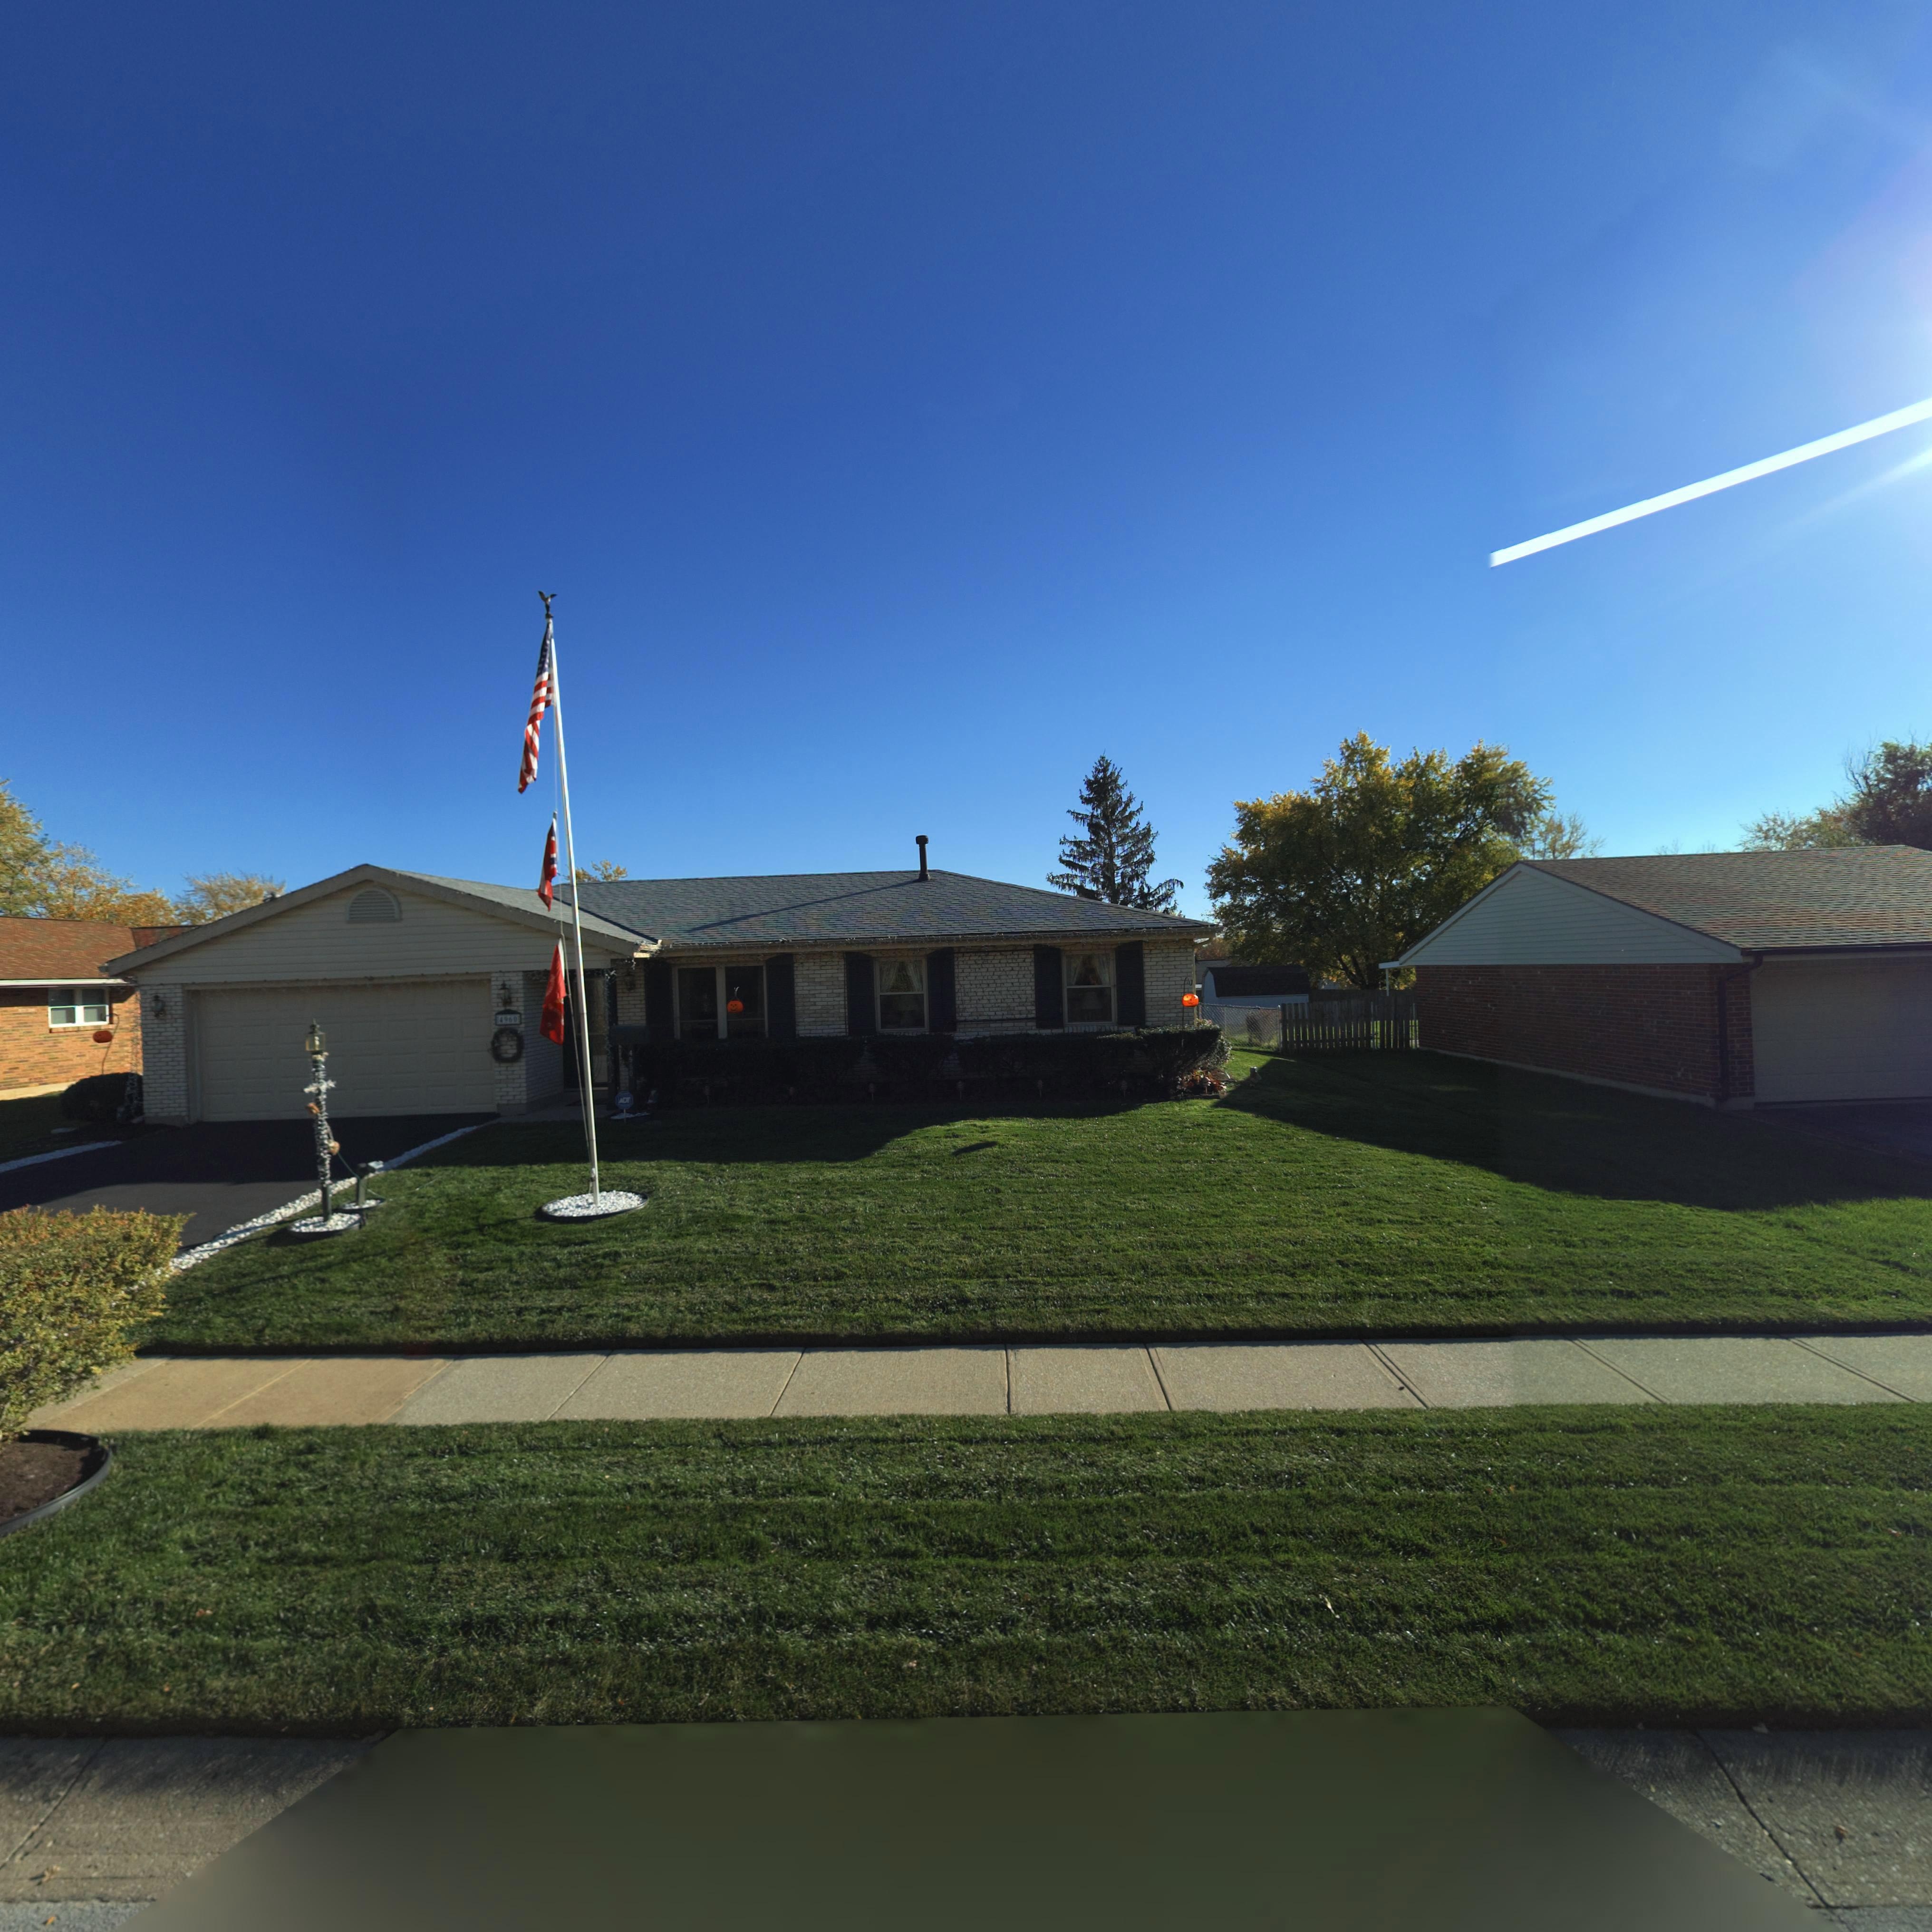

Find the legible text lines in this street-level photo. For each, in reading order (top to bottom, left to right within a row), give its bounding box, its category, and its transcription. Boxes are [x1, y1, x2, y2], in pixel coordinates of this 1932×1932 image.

[498, 1014, 519, 1024] StreetNumber: 4960